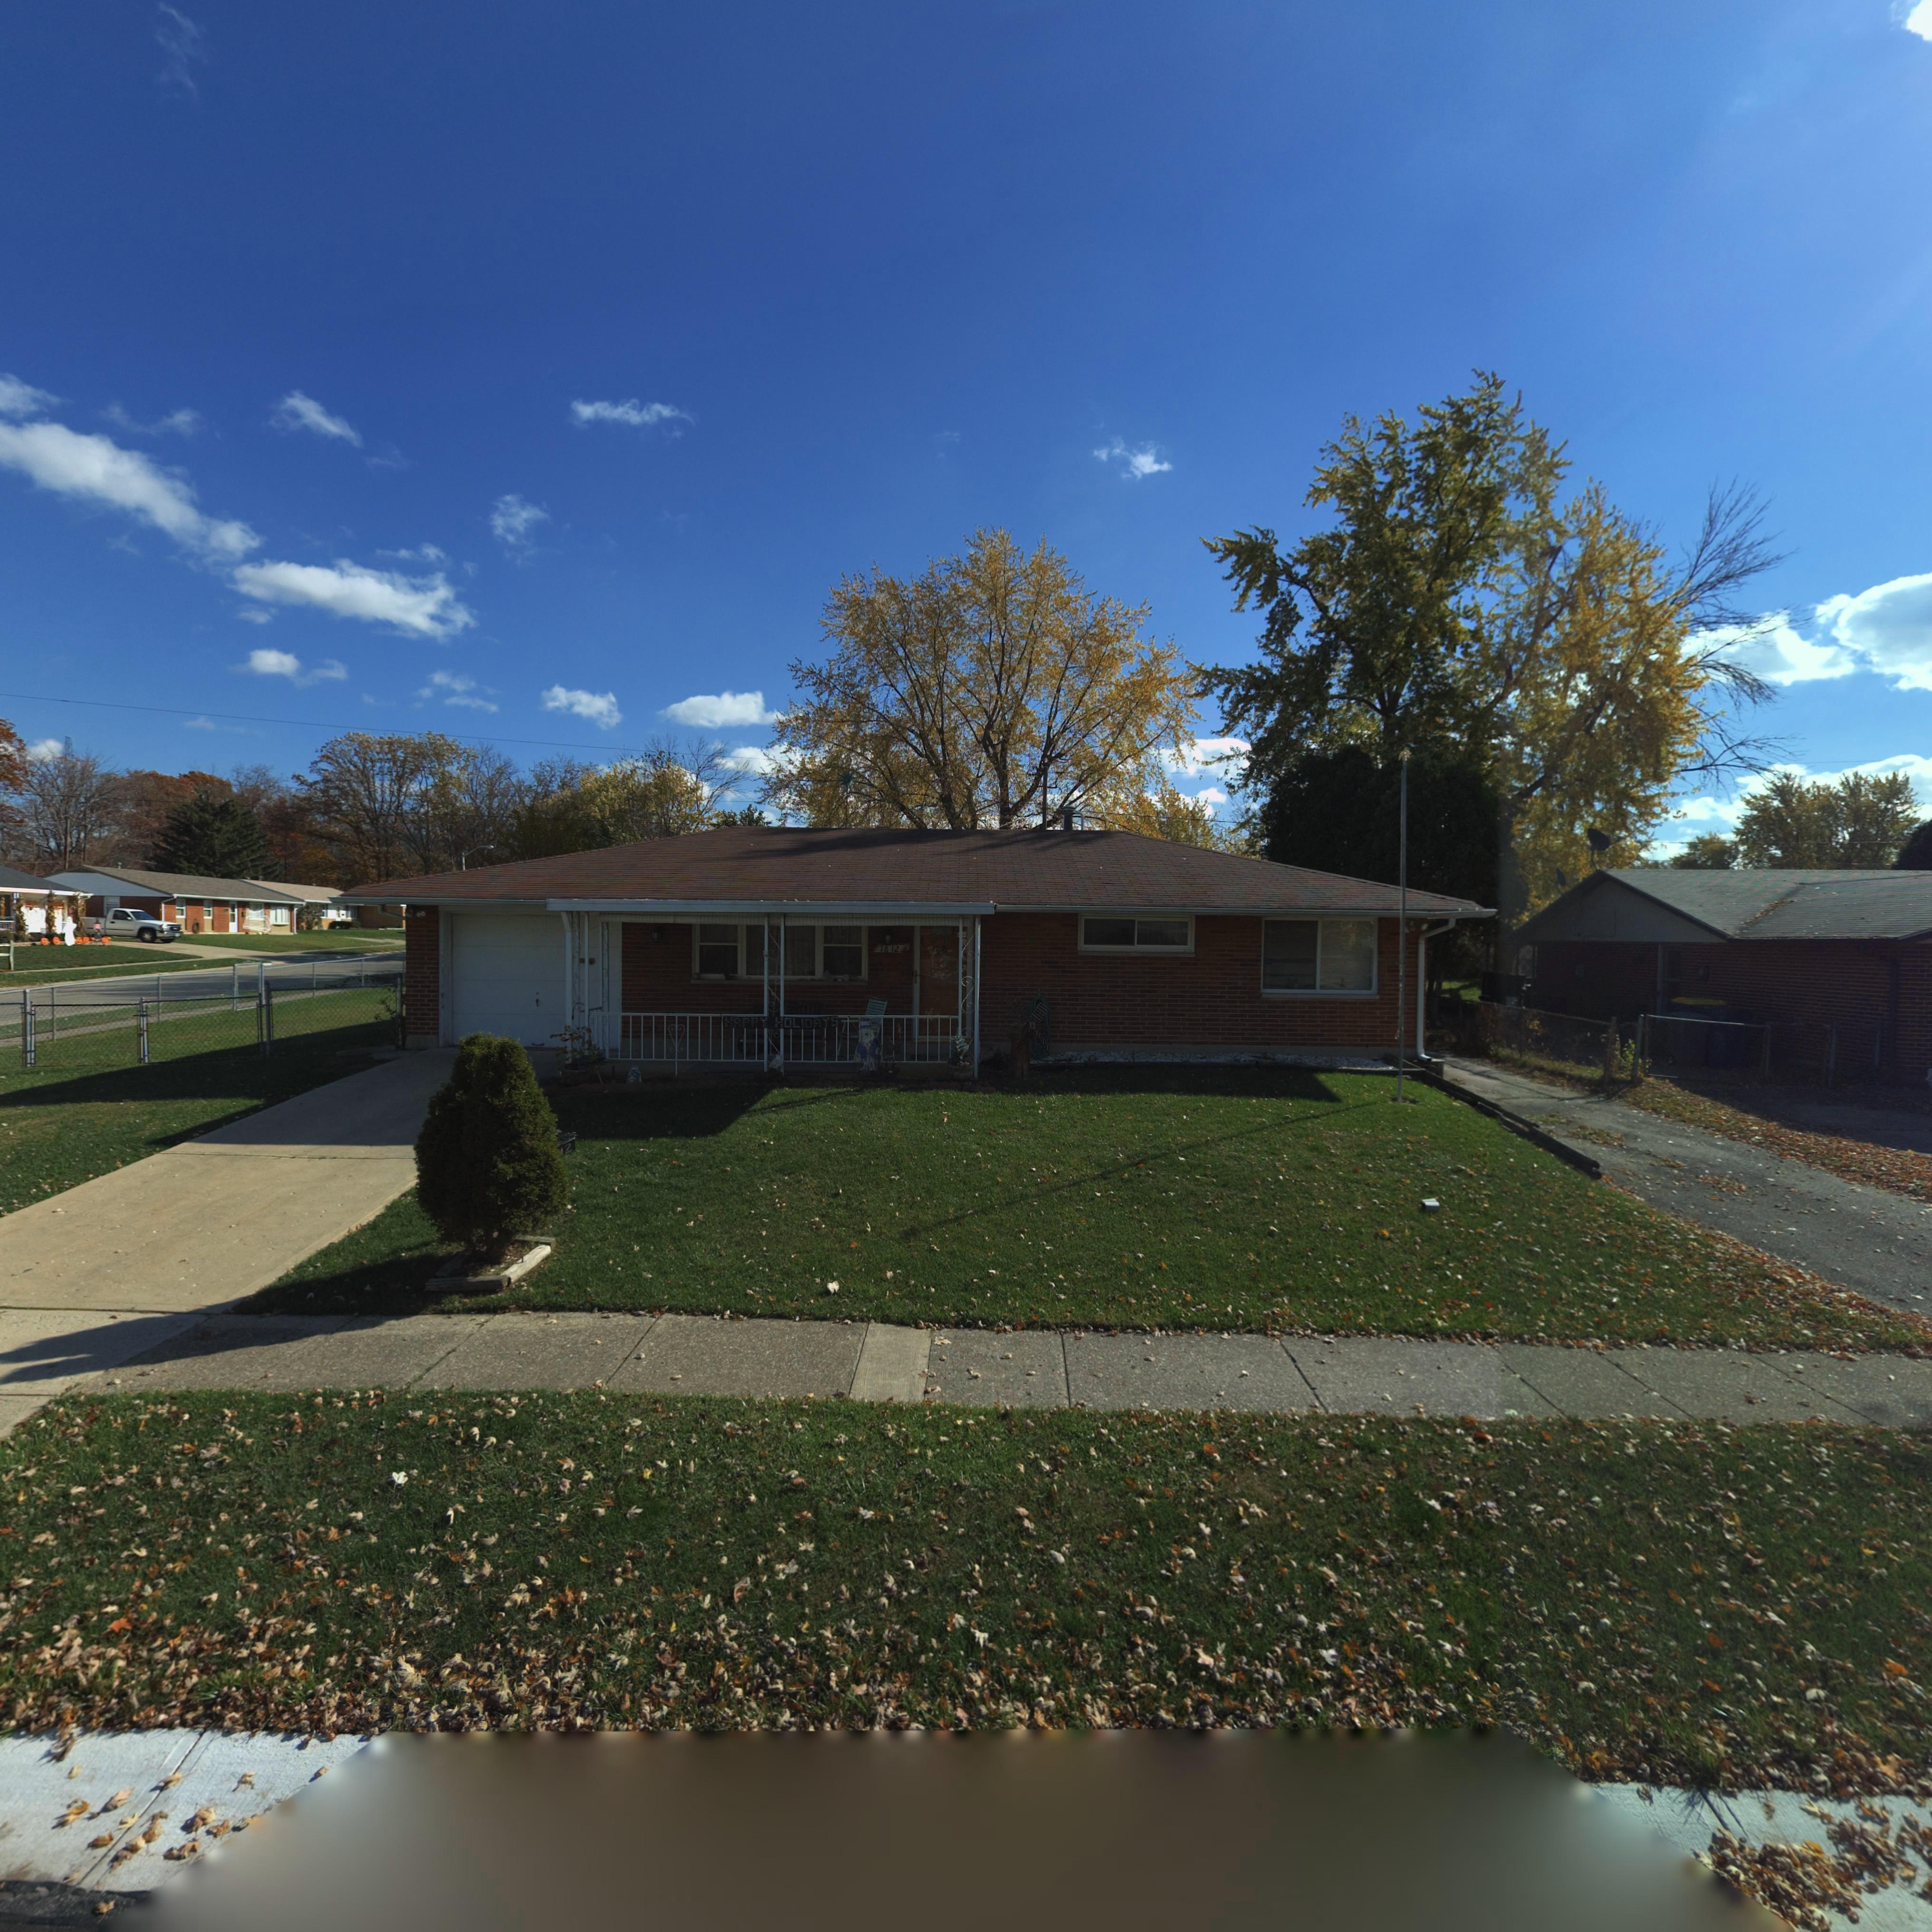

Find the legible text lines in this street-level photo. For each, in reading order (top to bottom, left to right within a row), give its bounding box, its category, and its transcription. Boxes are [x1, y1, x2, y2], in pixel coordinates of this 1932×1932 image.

[879, 944, 899, 953] StreetNumber: 7812
[563, 1141, 573, 1156] StreetNumber: 2